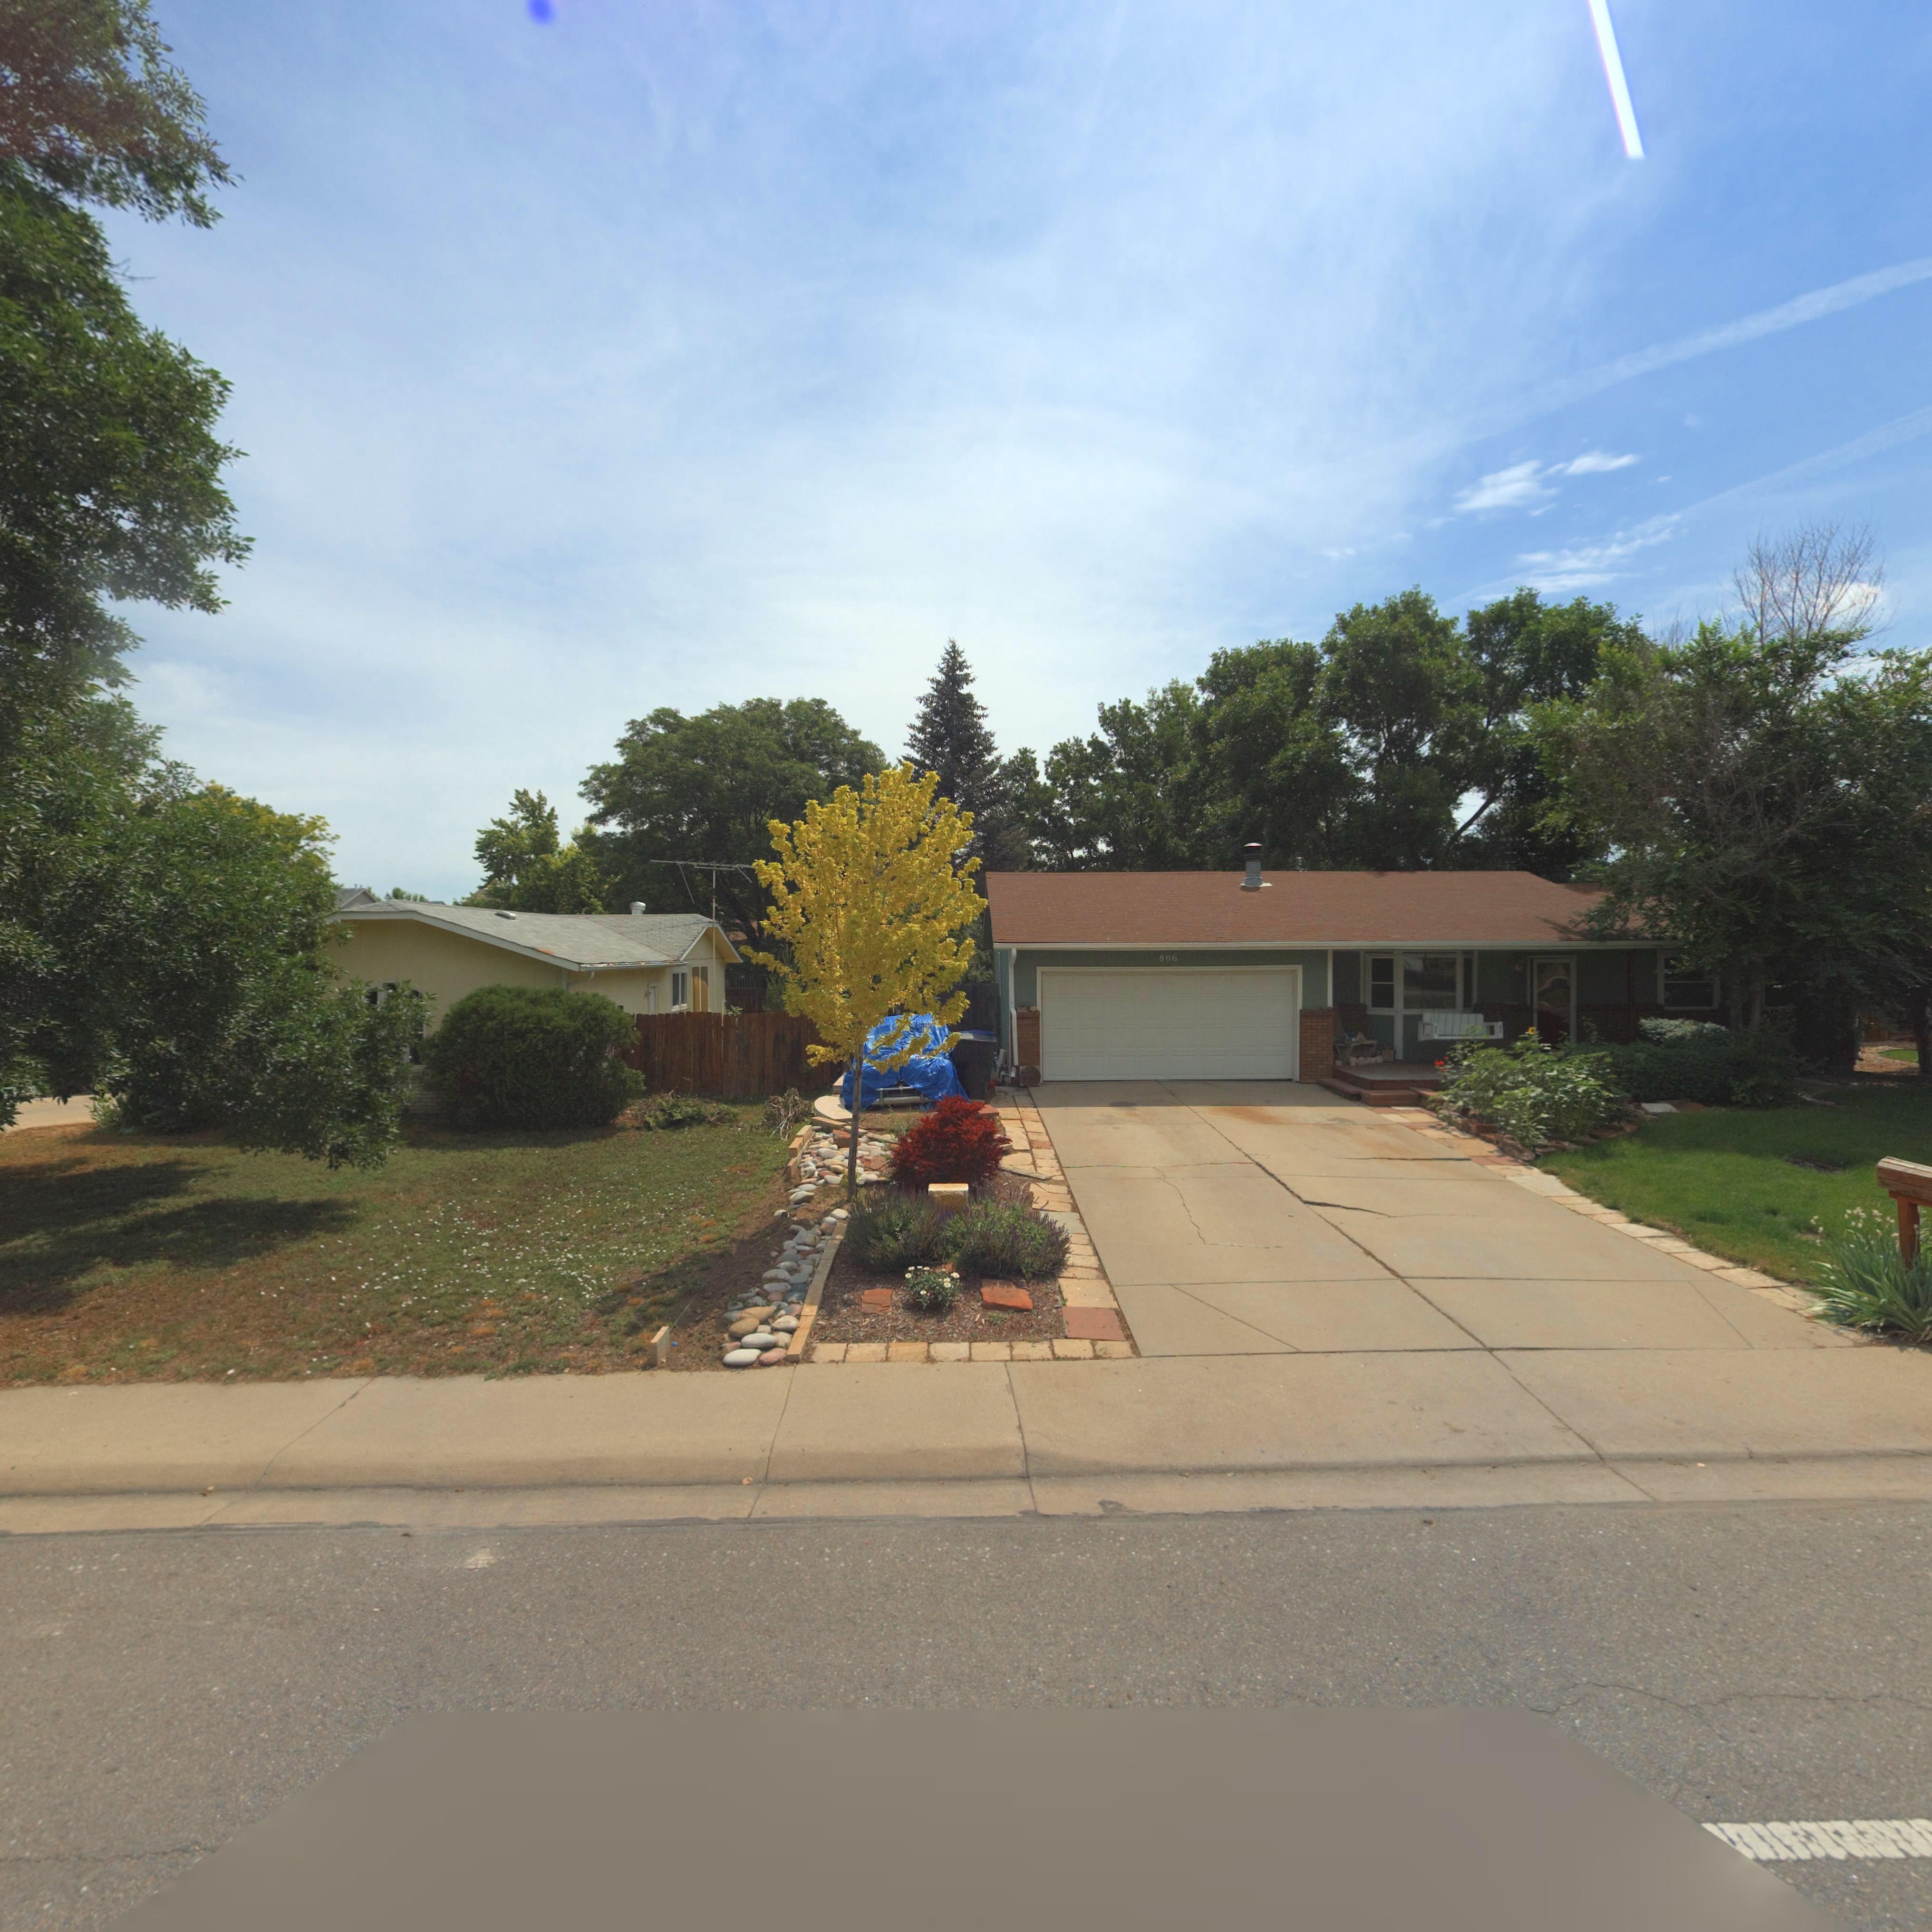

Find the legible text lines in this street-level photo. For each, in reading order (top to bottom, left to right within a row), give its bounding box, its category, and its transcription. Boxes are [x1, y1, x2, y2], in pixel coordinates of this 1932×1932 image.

[1159, 954, 1177, 962] StreetNumber: 806